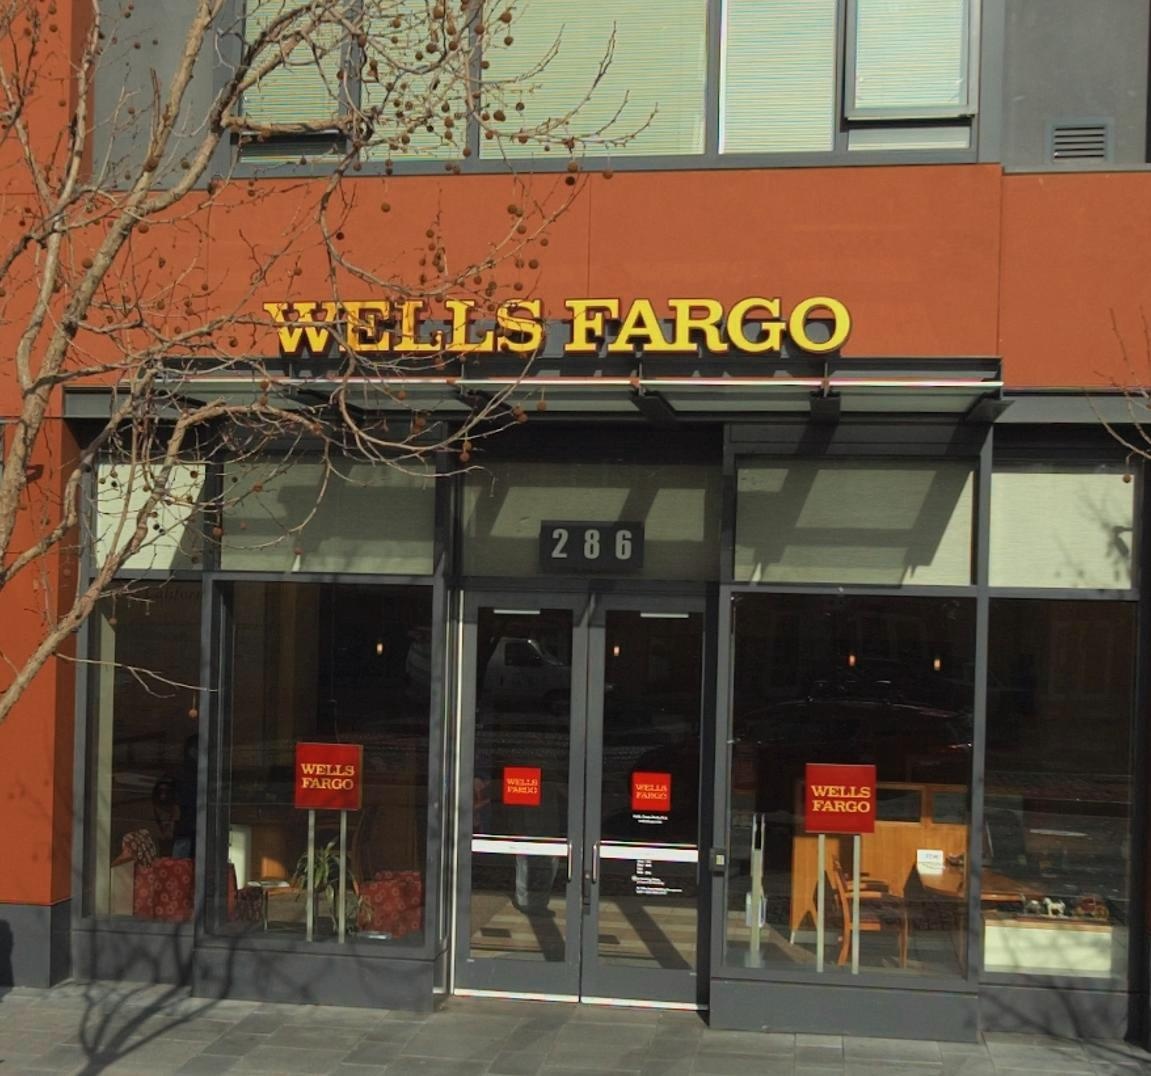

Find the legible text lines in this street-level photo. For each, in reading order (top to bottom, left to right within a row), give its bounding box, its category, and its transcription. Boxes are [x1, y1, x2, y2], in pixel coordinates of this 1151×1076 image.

[442, 293, 853, 357] BusinessName: LS FARGO
[548, 527, 635, 564] StreetNumber: 286
[298, 761, 357, 778] BusinessName: WELLS
[298, 775, 357, 793] BusinessName: FARGO
[806, 783, 873, 800] BusinessName: WELLS
[809, 797, 873, 815] BusinessName: FARGO